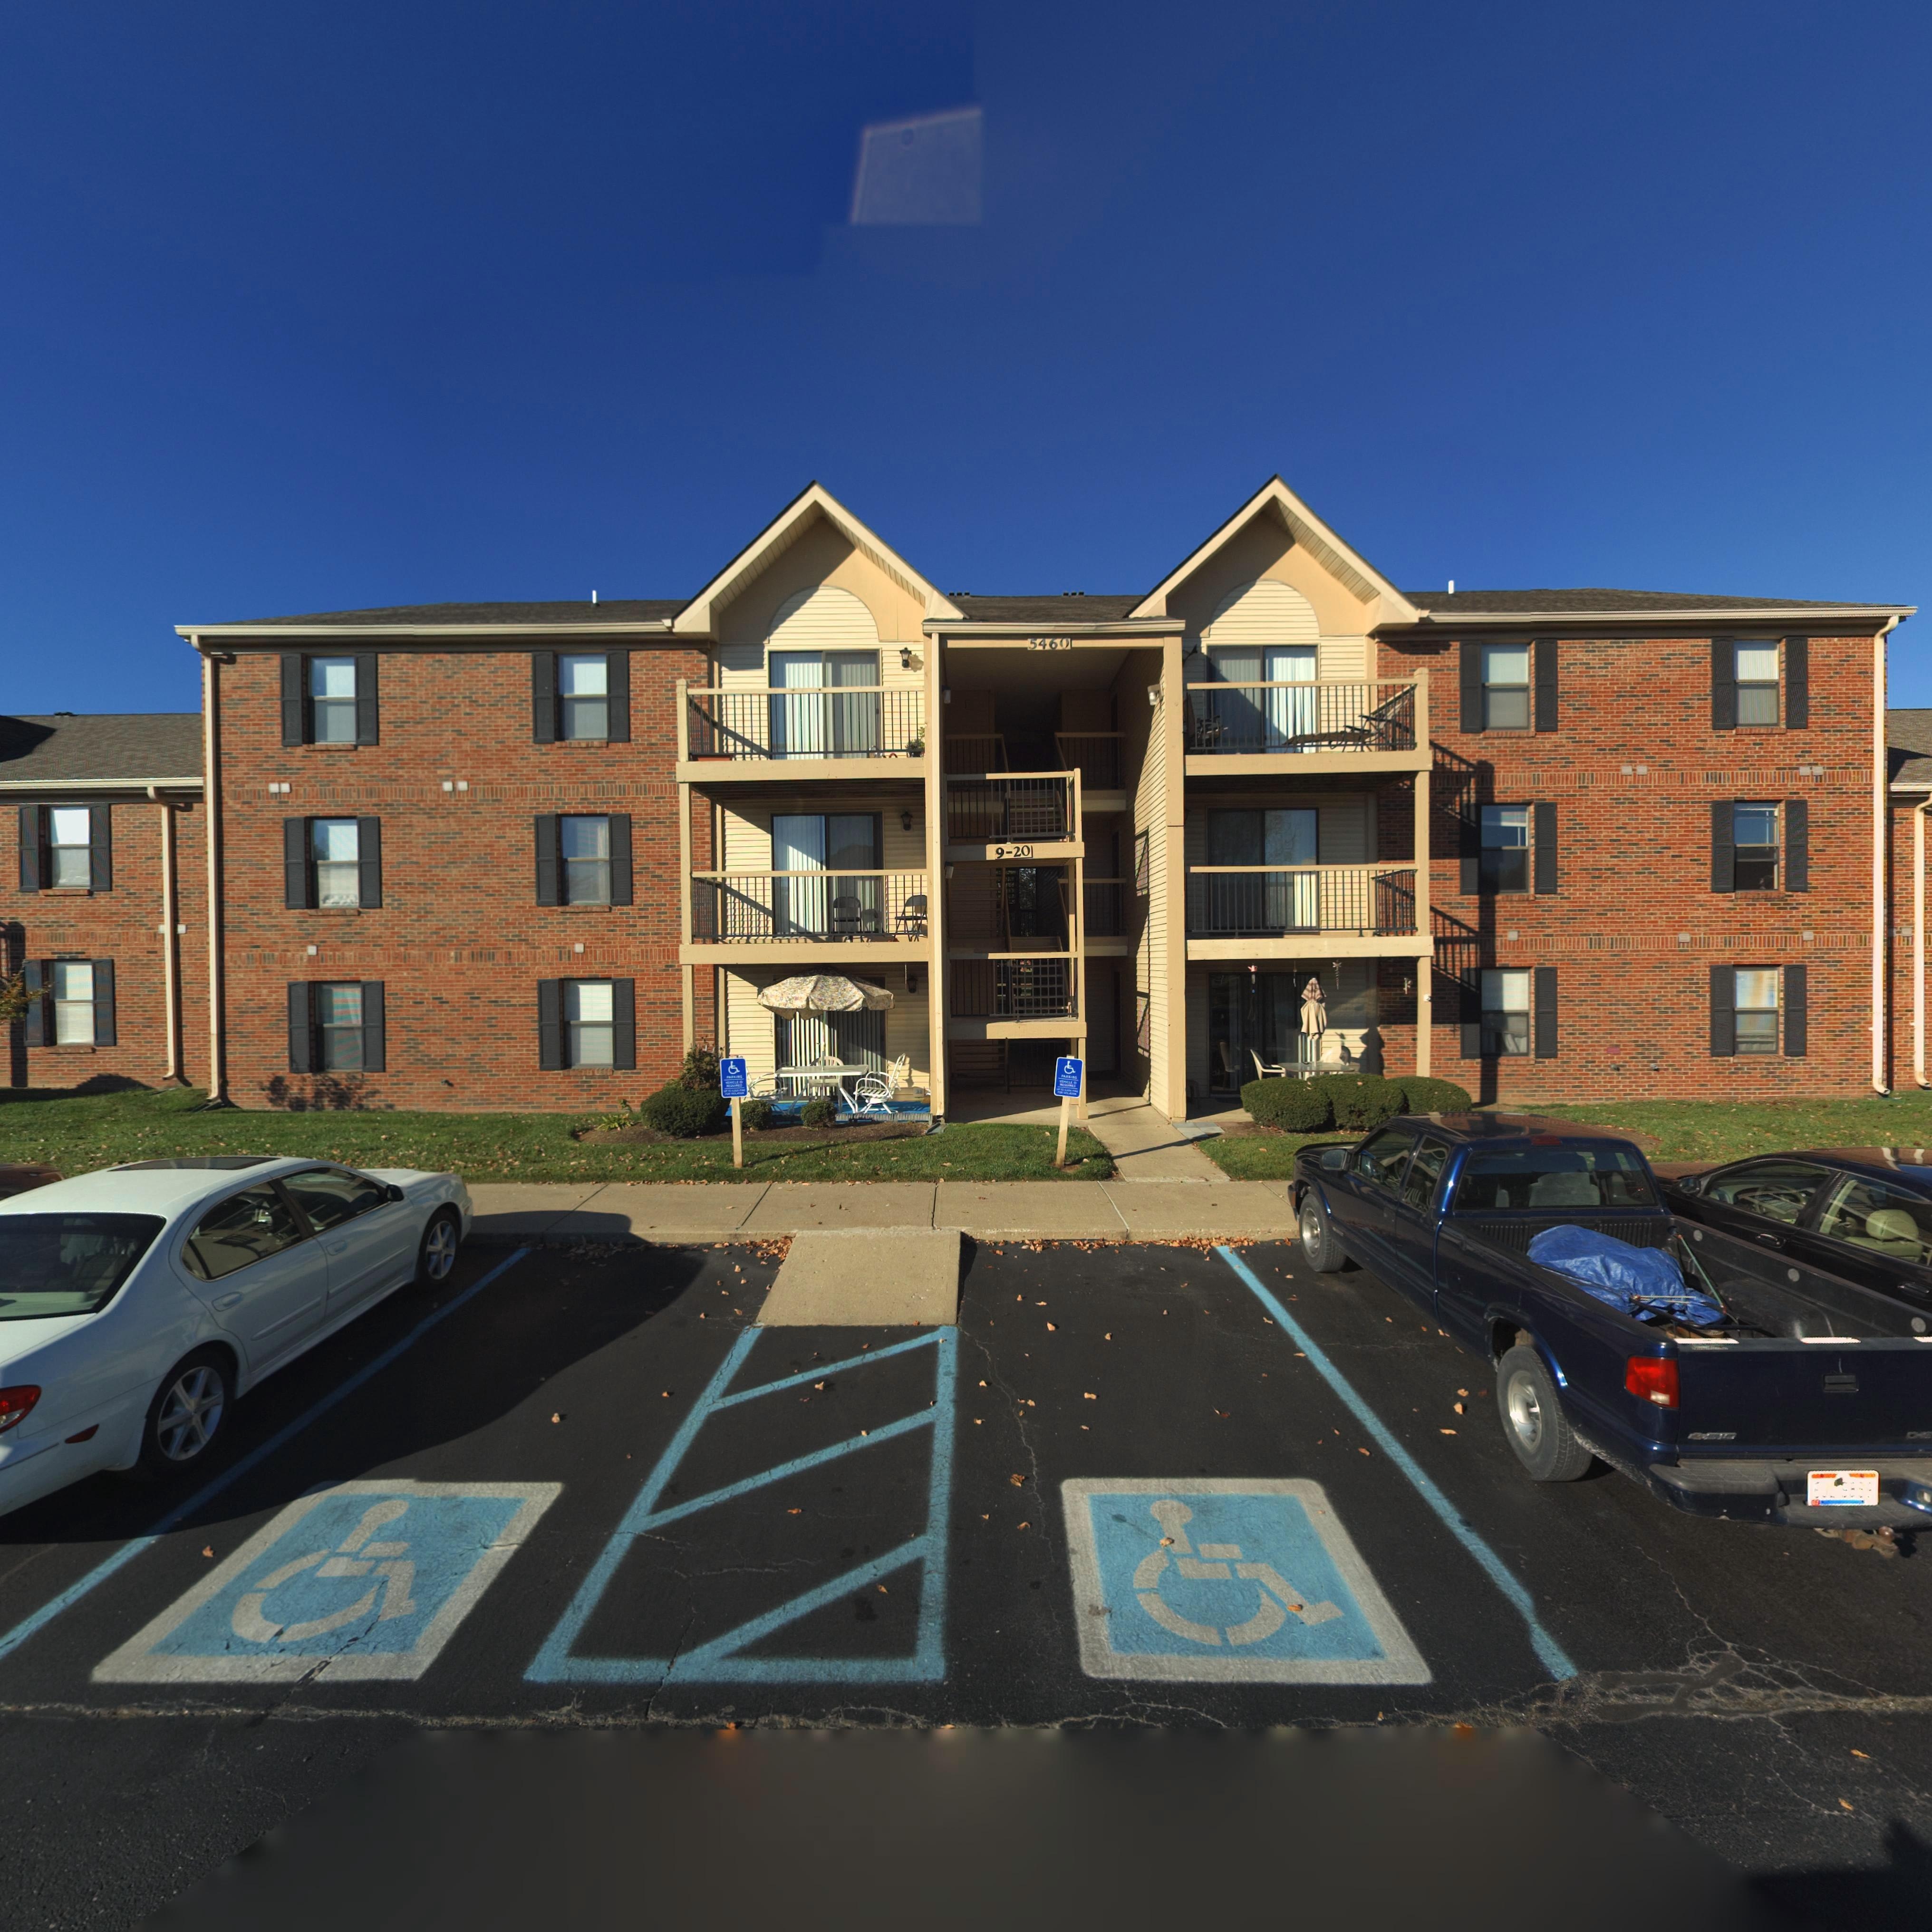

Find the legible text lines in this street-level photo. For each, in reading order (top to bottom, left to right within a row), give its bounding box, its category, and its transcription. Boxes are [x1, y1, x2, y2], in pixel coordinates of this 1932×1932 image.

[1027, 635, 1071, 651] StreetNumber: 5460
[995, 844, 1032, 860] StreetNumber: 9-20